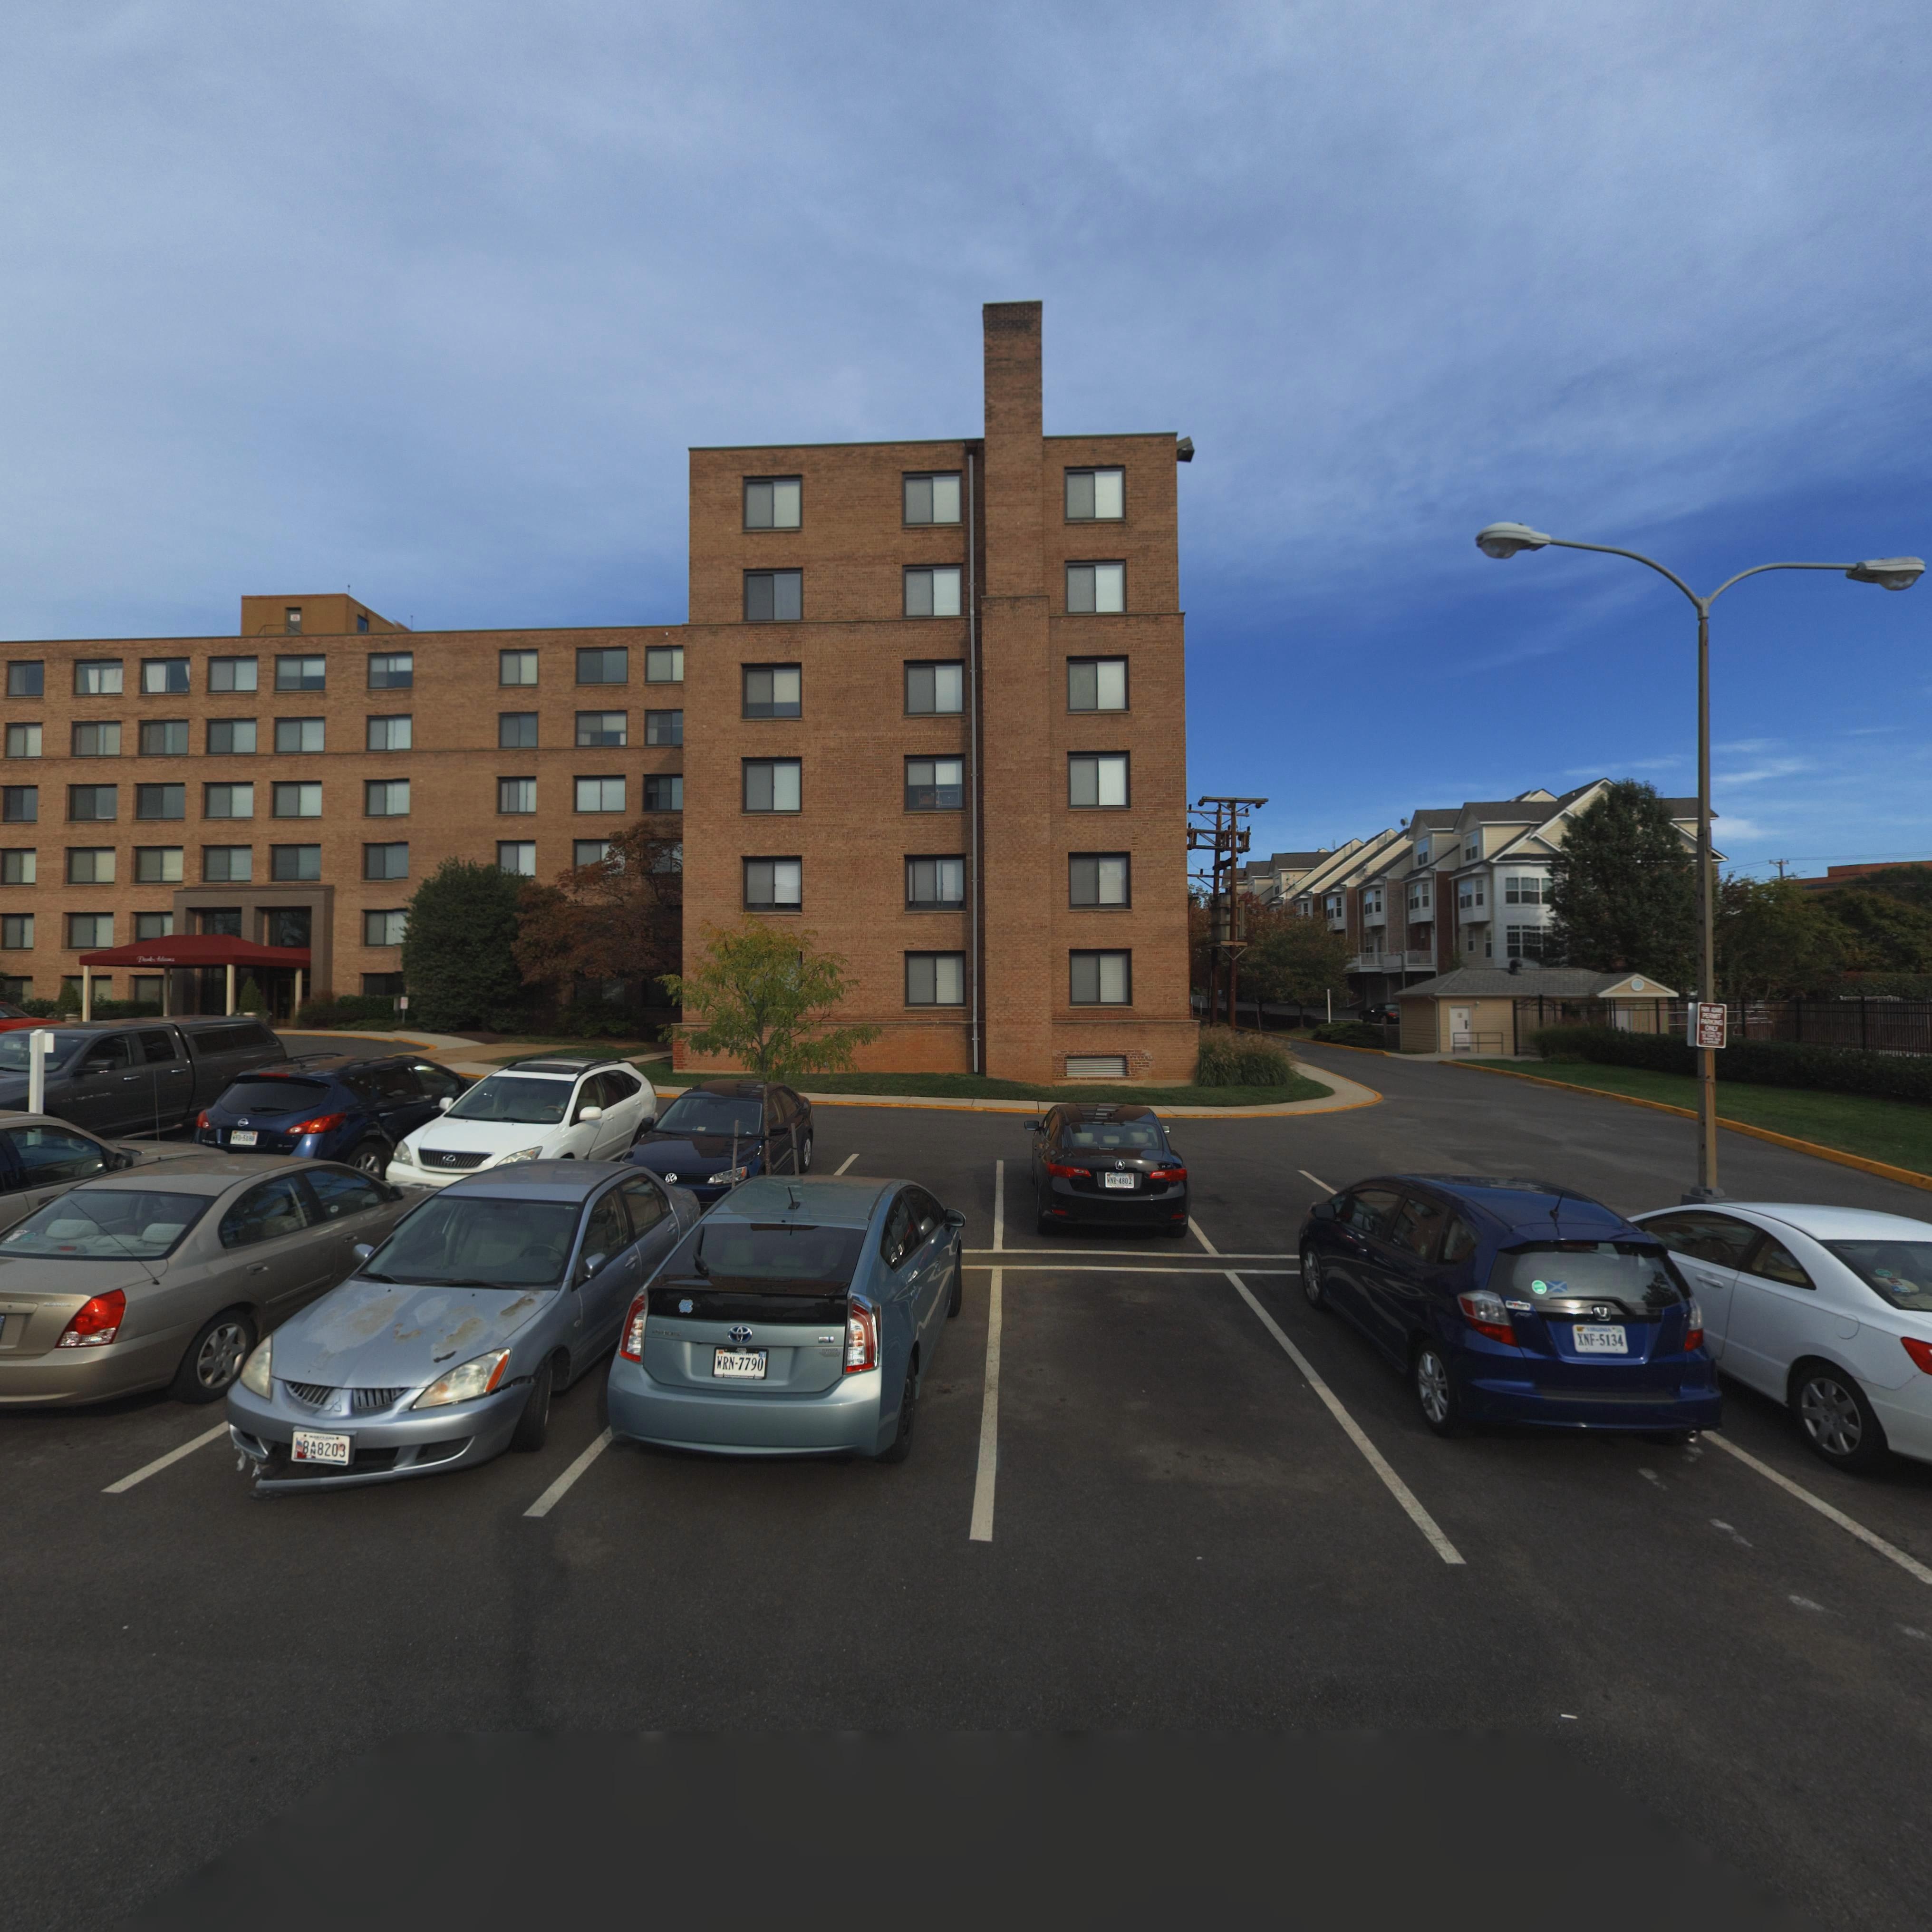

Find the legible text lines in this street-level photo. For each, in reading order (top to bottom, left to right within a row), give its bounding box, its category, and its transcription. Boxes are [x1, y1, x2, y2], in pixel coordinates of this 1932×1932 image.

[1703, 1024, 1719, 1033] None: only
[1701, 1012, 1722, 1020] None: PE***T
[1700, 1018, 1724, 1027] None: PA*K*NG
[241, 1134, 249, 1142] None: 51
[1106, 1176, 1133, 1185] None: WN*-4802
[1576, 1332, 1625, 1348] None: XNF-5134
[715, 1354, 765, 1372] None: WRN-7790
[302, 1439, 310, 1455] None: 8
[309, 1440, 317, 1457] None: AN
[316, 1440, 347, 1459] None: 8203